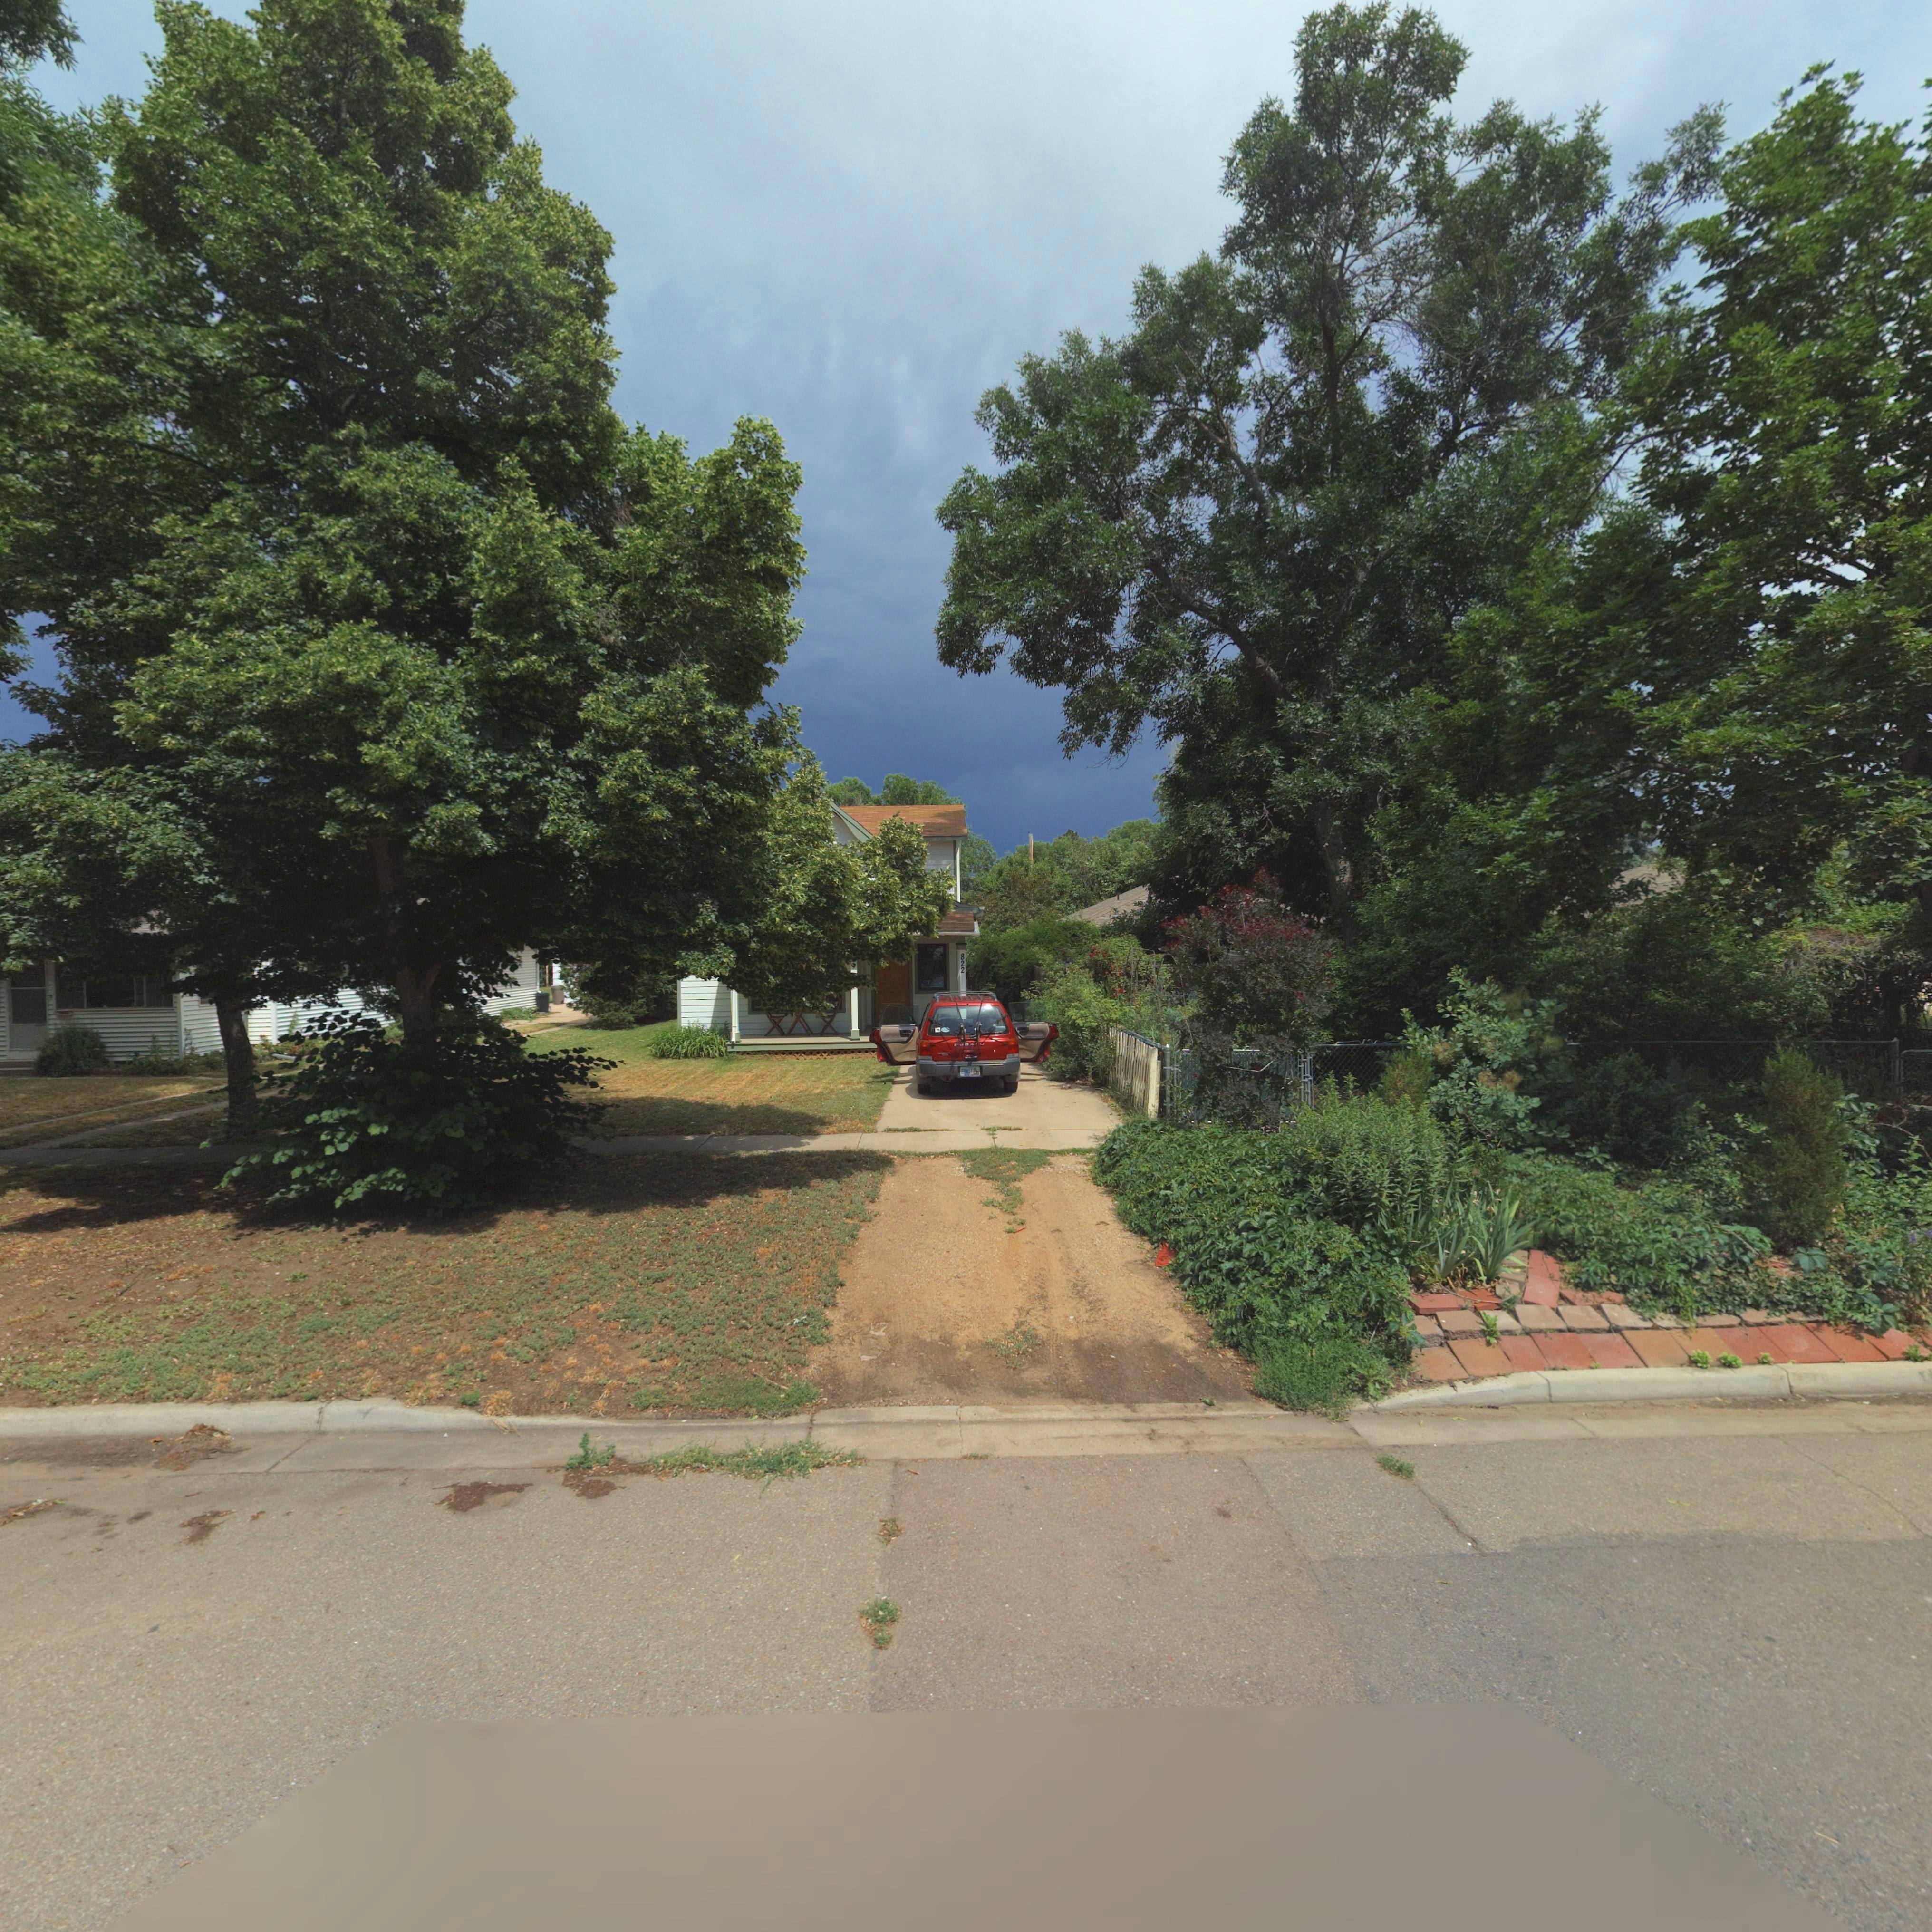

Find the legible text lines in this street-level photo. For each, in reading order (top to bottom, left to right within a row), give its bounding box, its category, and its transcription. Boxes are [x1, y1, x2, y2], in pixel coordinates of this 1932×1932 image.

[960, 952, 965, 973] StreetNumber: 822